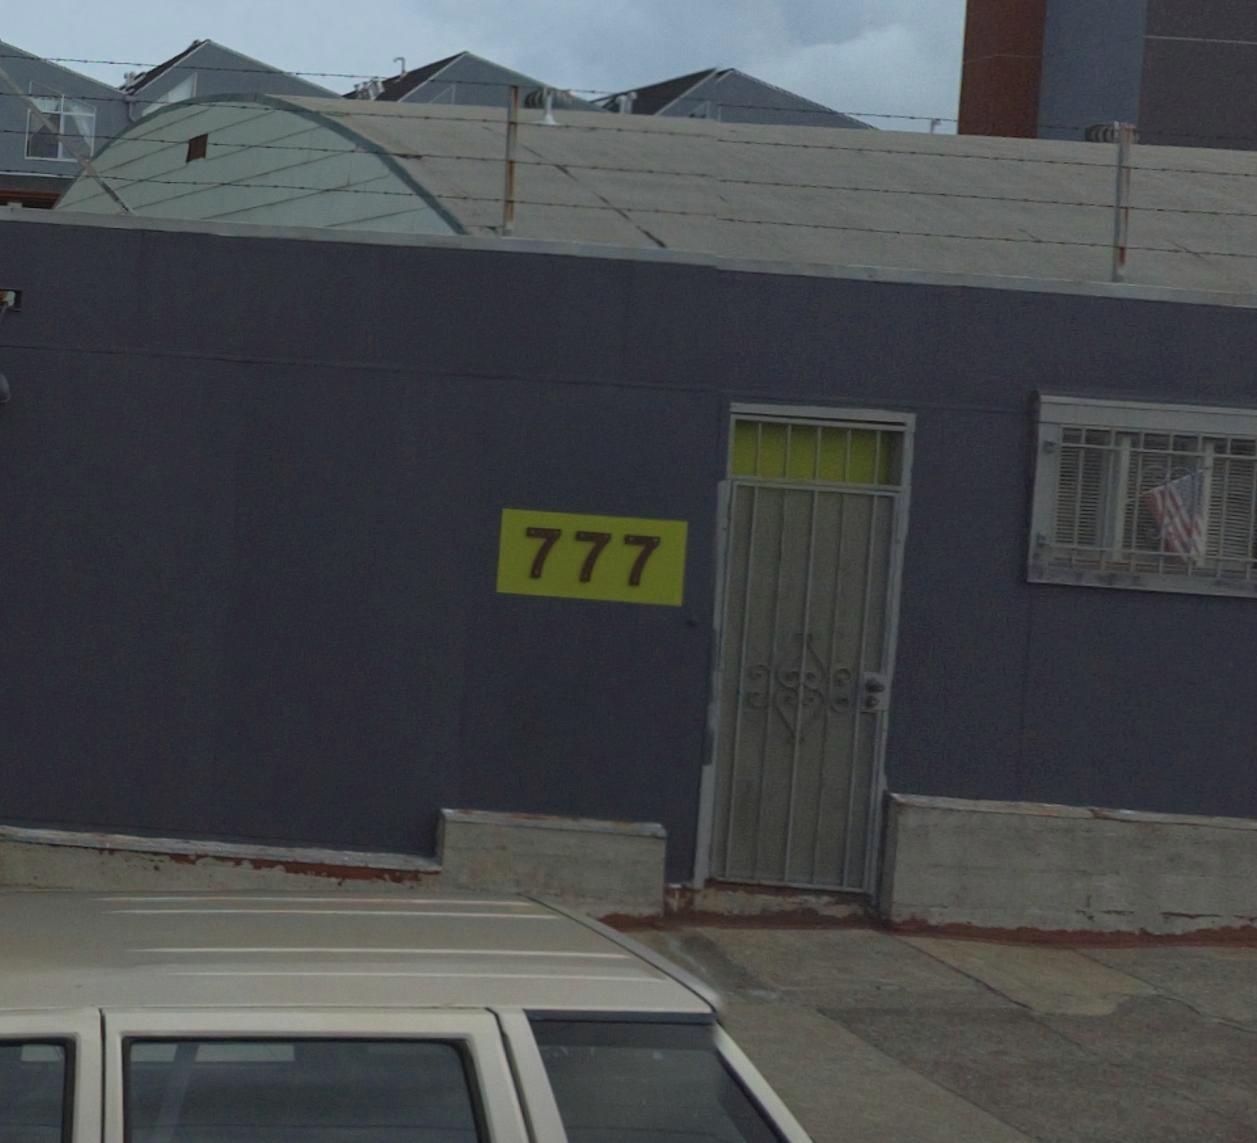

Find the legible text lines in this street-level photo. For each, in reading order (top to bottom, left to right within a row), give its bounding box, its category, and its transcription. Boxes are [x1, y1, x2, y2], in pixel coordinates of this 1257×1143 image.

[519, 524, 664, 590] StreetNumber: 777